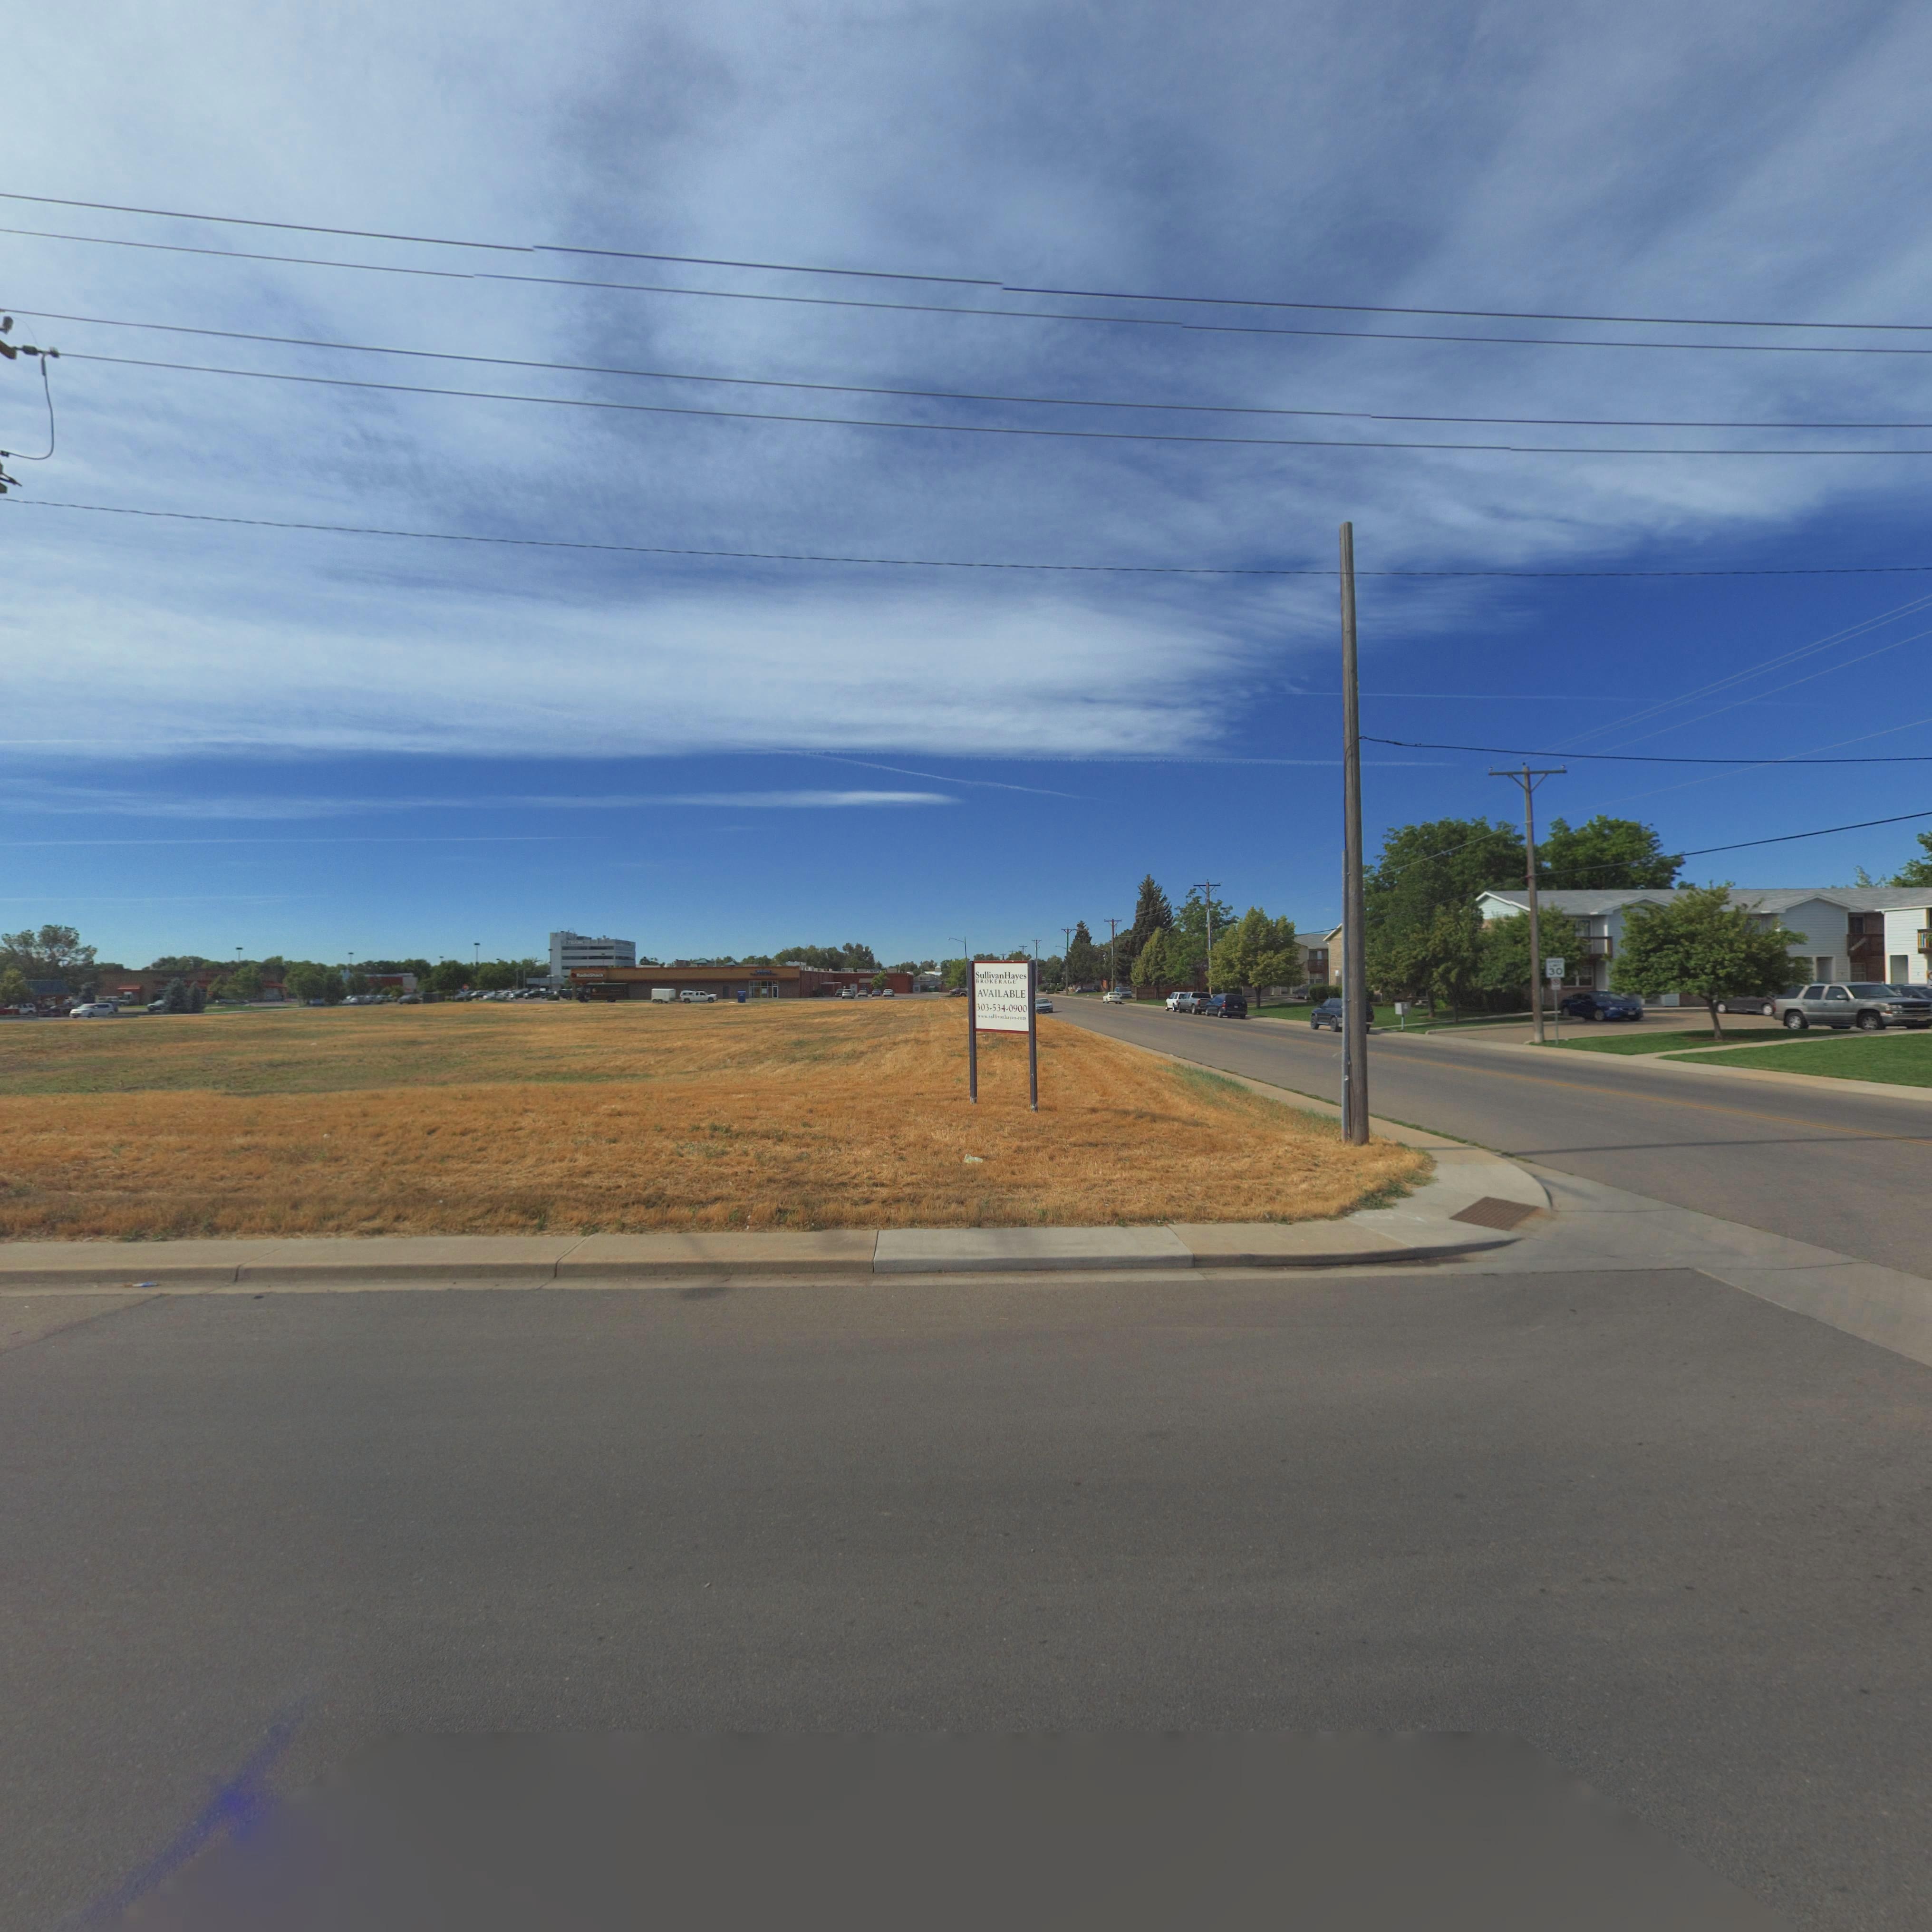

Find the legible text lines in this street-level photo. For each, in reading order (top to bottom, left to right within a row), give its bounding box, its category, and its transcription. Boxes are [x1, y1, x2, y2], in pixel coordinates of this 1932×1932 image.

[576, 973, 603, 976] BusinessName: RadioShack